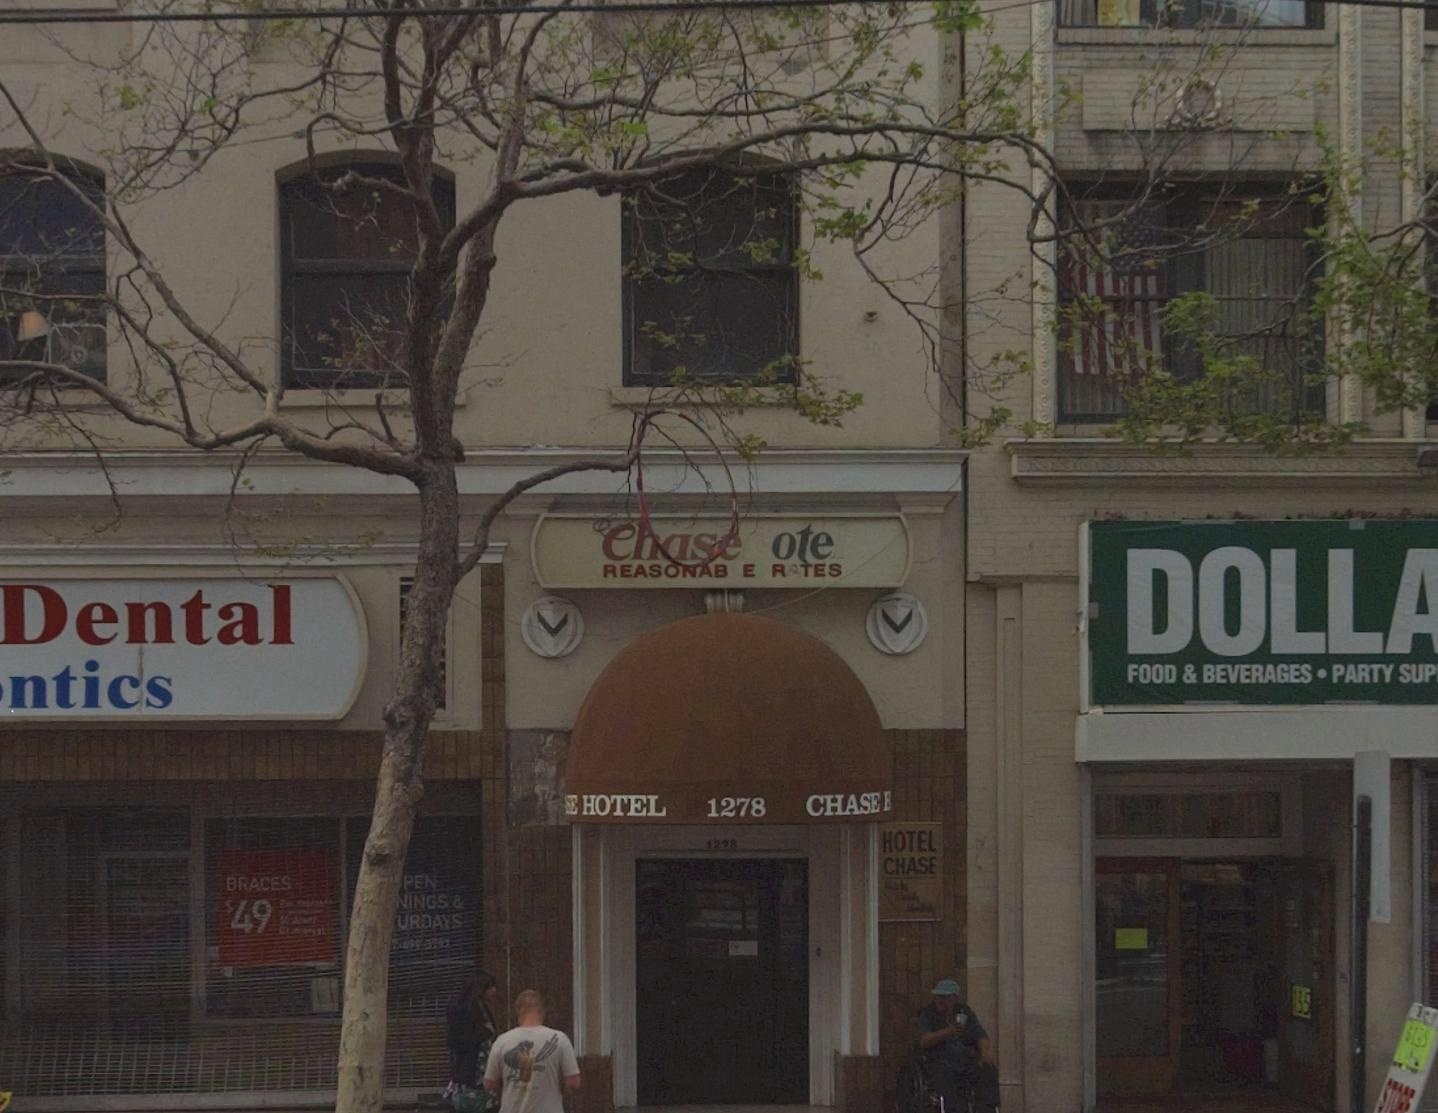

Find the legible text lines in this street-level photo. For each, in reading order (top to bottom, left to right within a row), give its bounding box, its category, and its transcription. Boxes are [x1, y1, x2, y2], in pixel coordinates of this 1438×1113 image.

[596, 519, 838, 564] BusinessName: Chas* ote
[599, 560, 845, 581] None: REASONAB E R*TES
[1, 582, 297, 647] BusinessName: Dental
[1122, 545, 1387, 658] BusinessName: DOLL
[6, 656, 177, 712] BusinessName: ntics
[1125, 661, 1437, 686] None: FOOD & BEVERAGES * PARTY SUP
[579, 791, 669, 819] BusinessName: HOTEL
[704, 794, 769, 821] StreetNumber: 1278
[802, 789, 883, 819] BusinessName: CHASE
[704, 836, 740, 852] StreetNumber: 1278
[879, 827, 940, 856] BusinessName: HOTEL
[880, 854, 939, 878] BusinessName: CHASE
[224, 873, 294, 894] None: BRACES
[401, 871, 439, 892] None: PEN
[406, 892, 450, 911] None: ING
[227, 896, 275, 937] None: 49
[395, 911, 464, 932] None: URDAYS
[1295, 988, 1315, 1019] None: 35